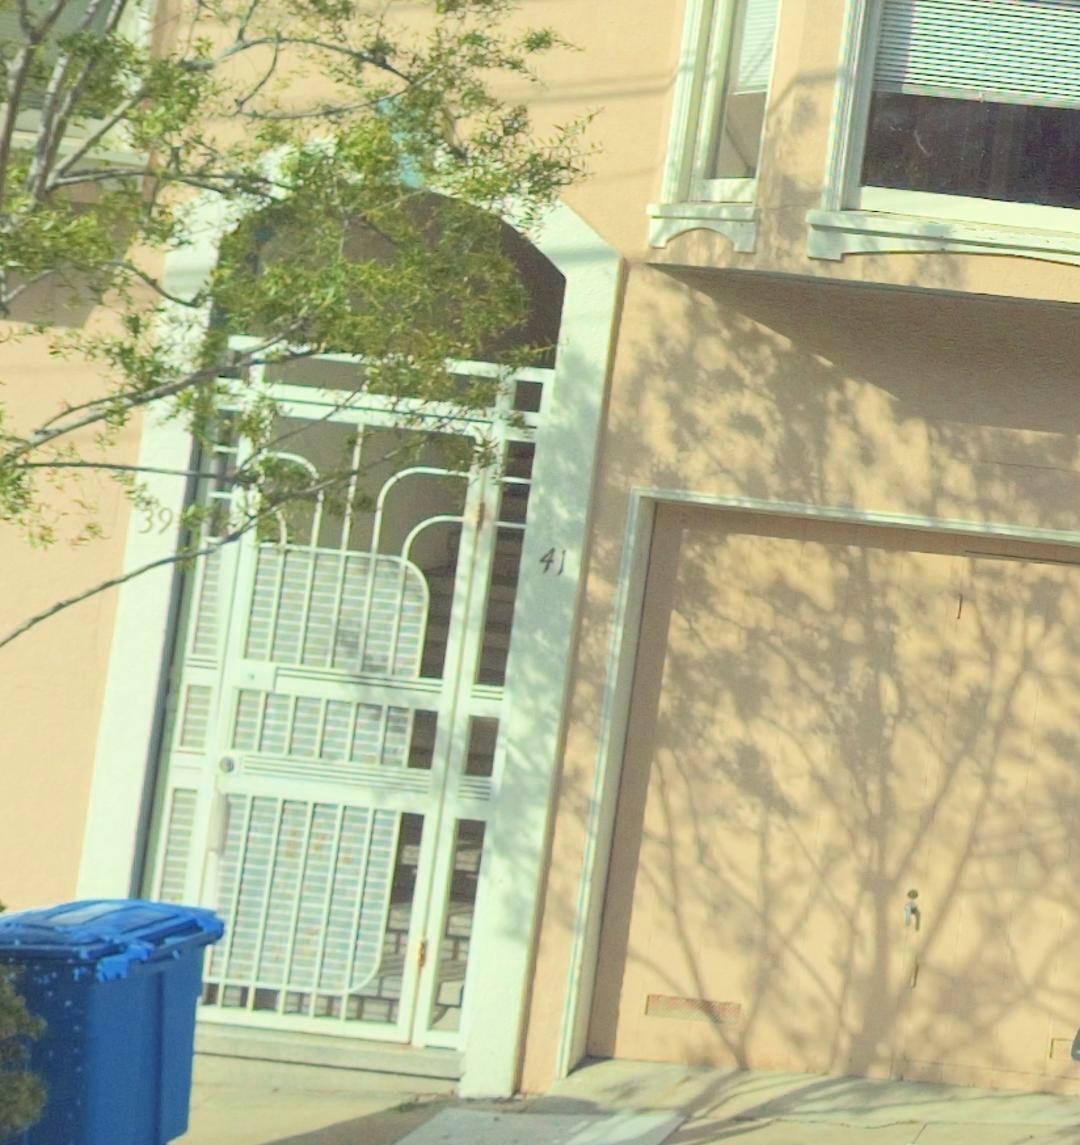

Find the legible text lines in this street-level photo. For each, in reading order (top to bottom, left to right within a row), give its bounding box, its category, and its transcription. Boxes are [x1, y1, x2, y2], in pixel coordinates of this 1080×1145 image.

[539, 545, 568, 577] StreetNumber: 41